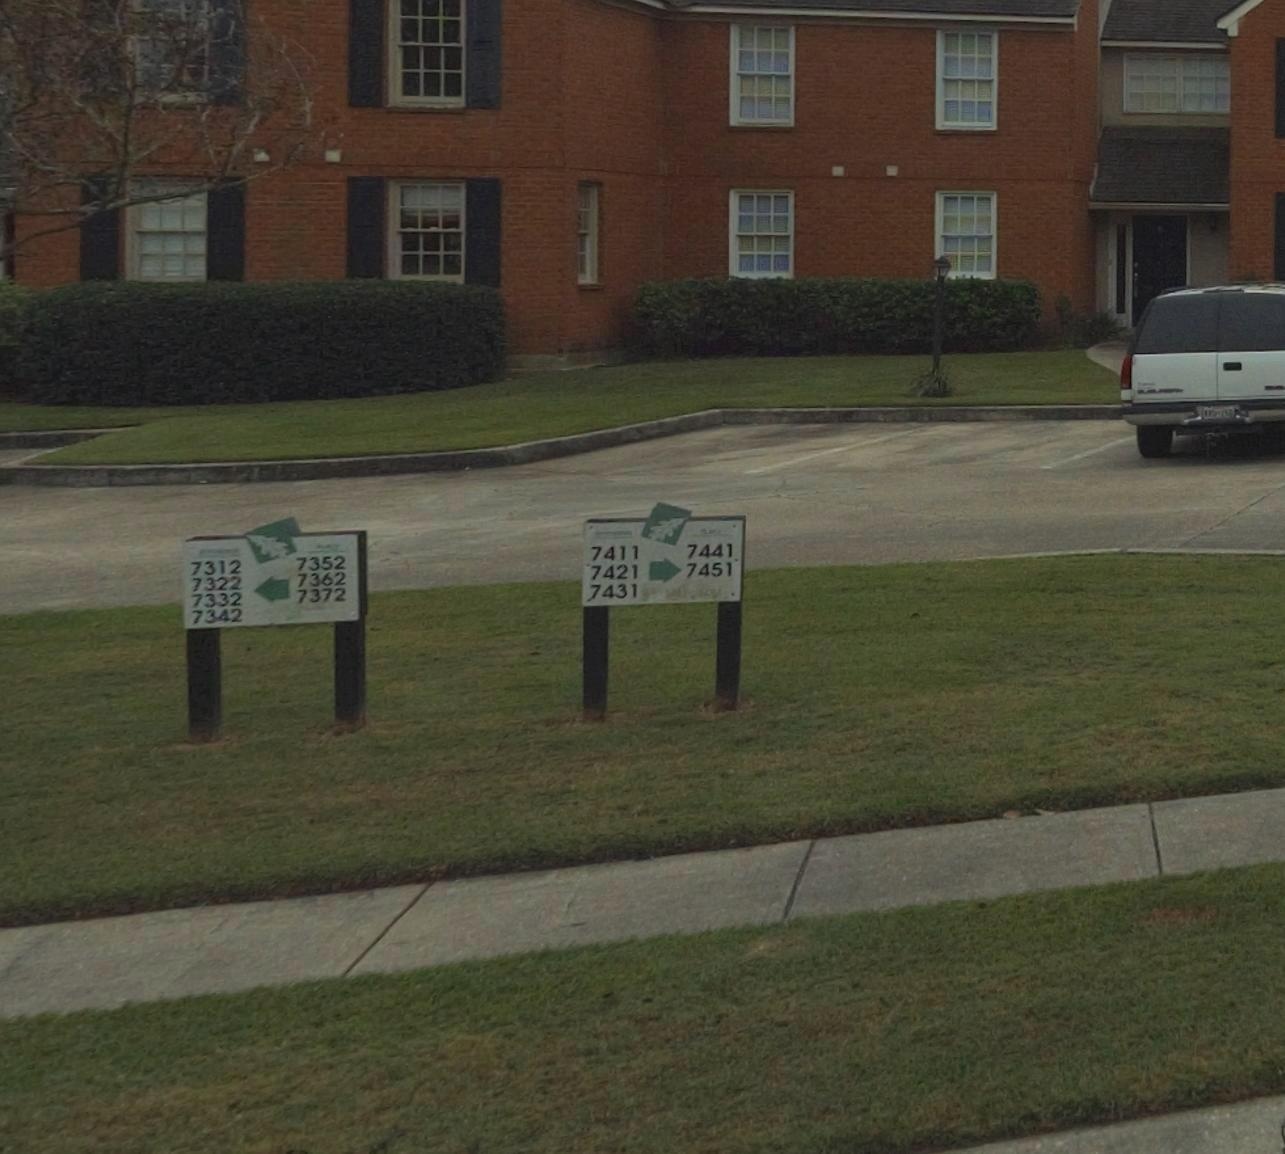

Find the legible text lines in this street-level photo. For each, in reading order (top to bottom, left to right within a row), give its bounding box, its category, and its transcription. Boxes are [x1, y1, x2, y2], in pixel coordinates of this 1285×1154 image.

[590, 544, 639, 561] StreetNumber: 7411
[686, 542, 733, 560] None: 7441
[190, 559, 243, 577] StreetNumber: 7312
[190, 591, 243, 609] None: 7332
[191, 575, 243, 592] None: 7322
[295, 554, 347, 572] None: 7352
[296, 586, 347, 605] None: 7372
[296, 570, 348, 589] None: 7362
[590, 563, 638, 581] None: 7421
[590, 581, 639, 600] None: 7431
[686, 561, 733, 578] None: 7451
[191, 607, 243, 625] None: 7342